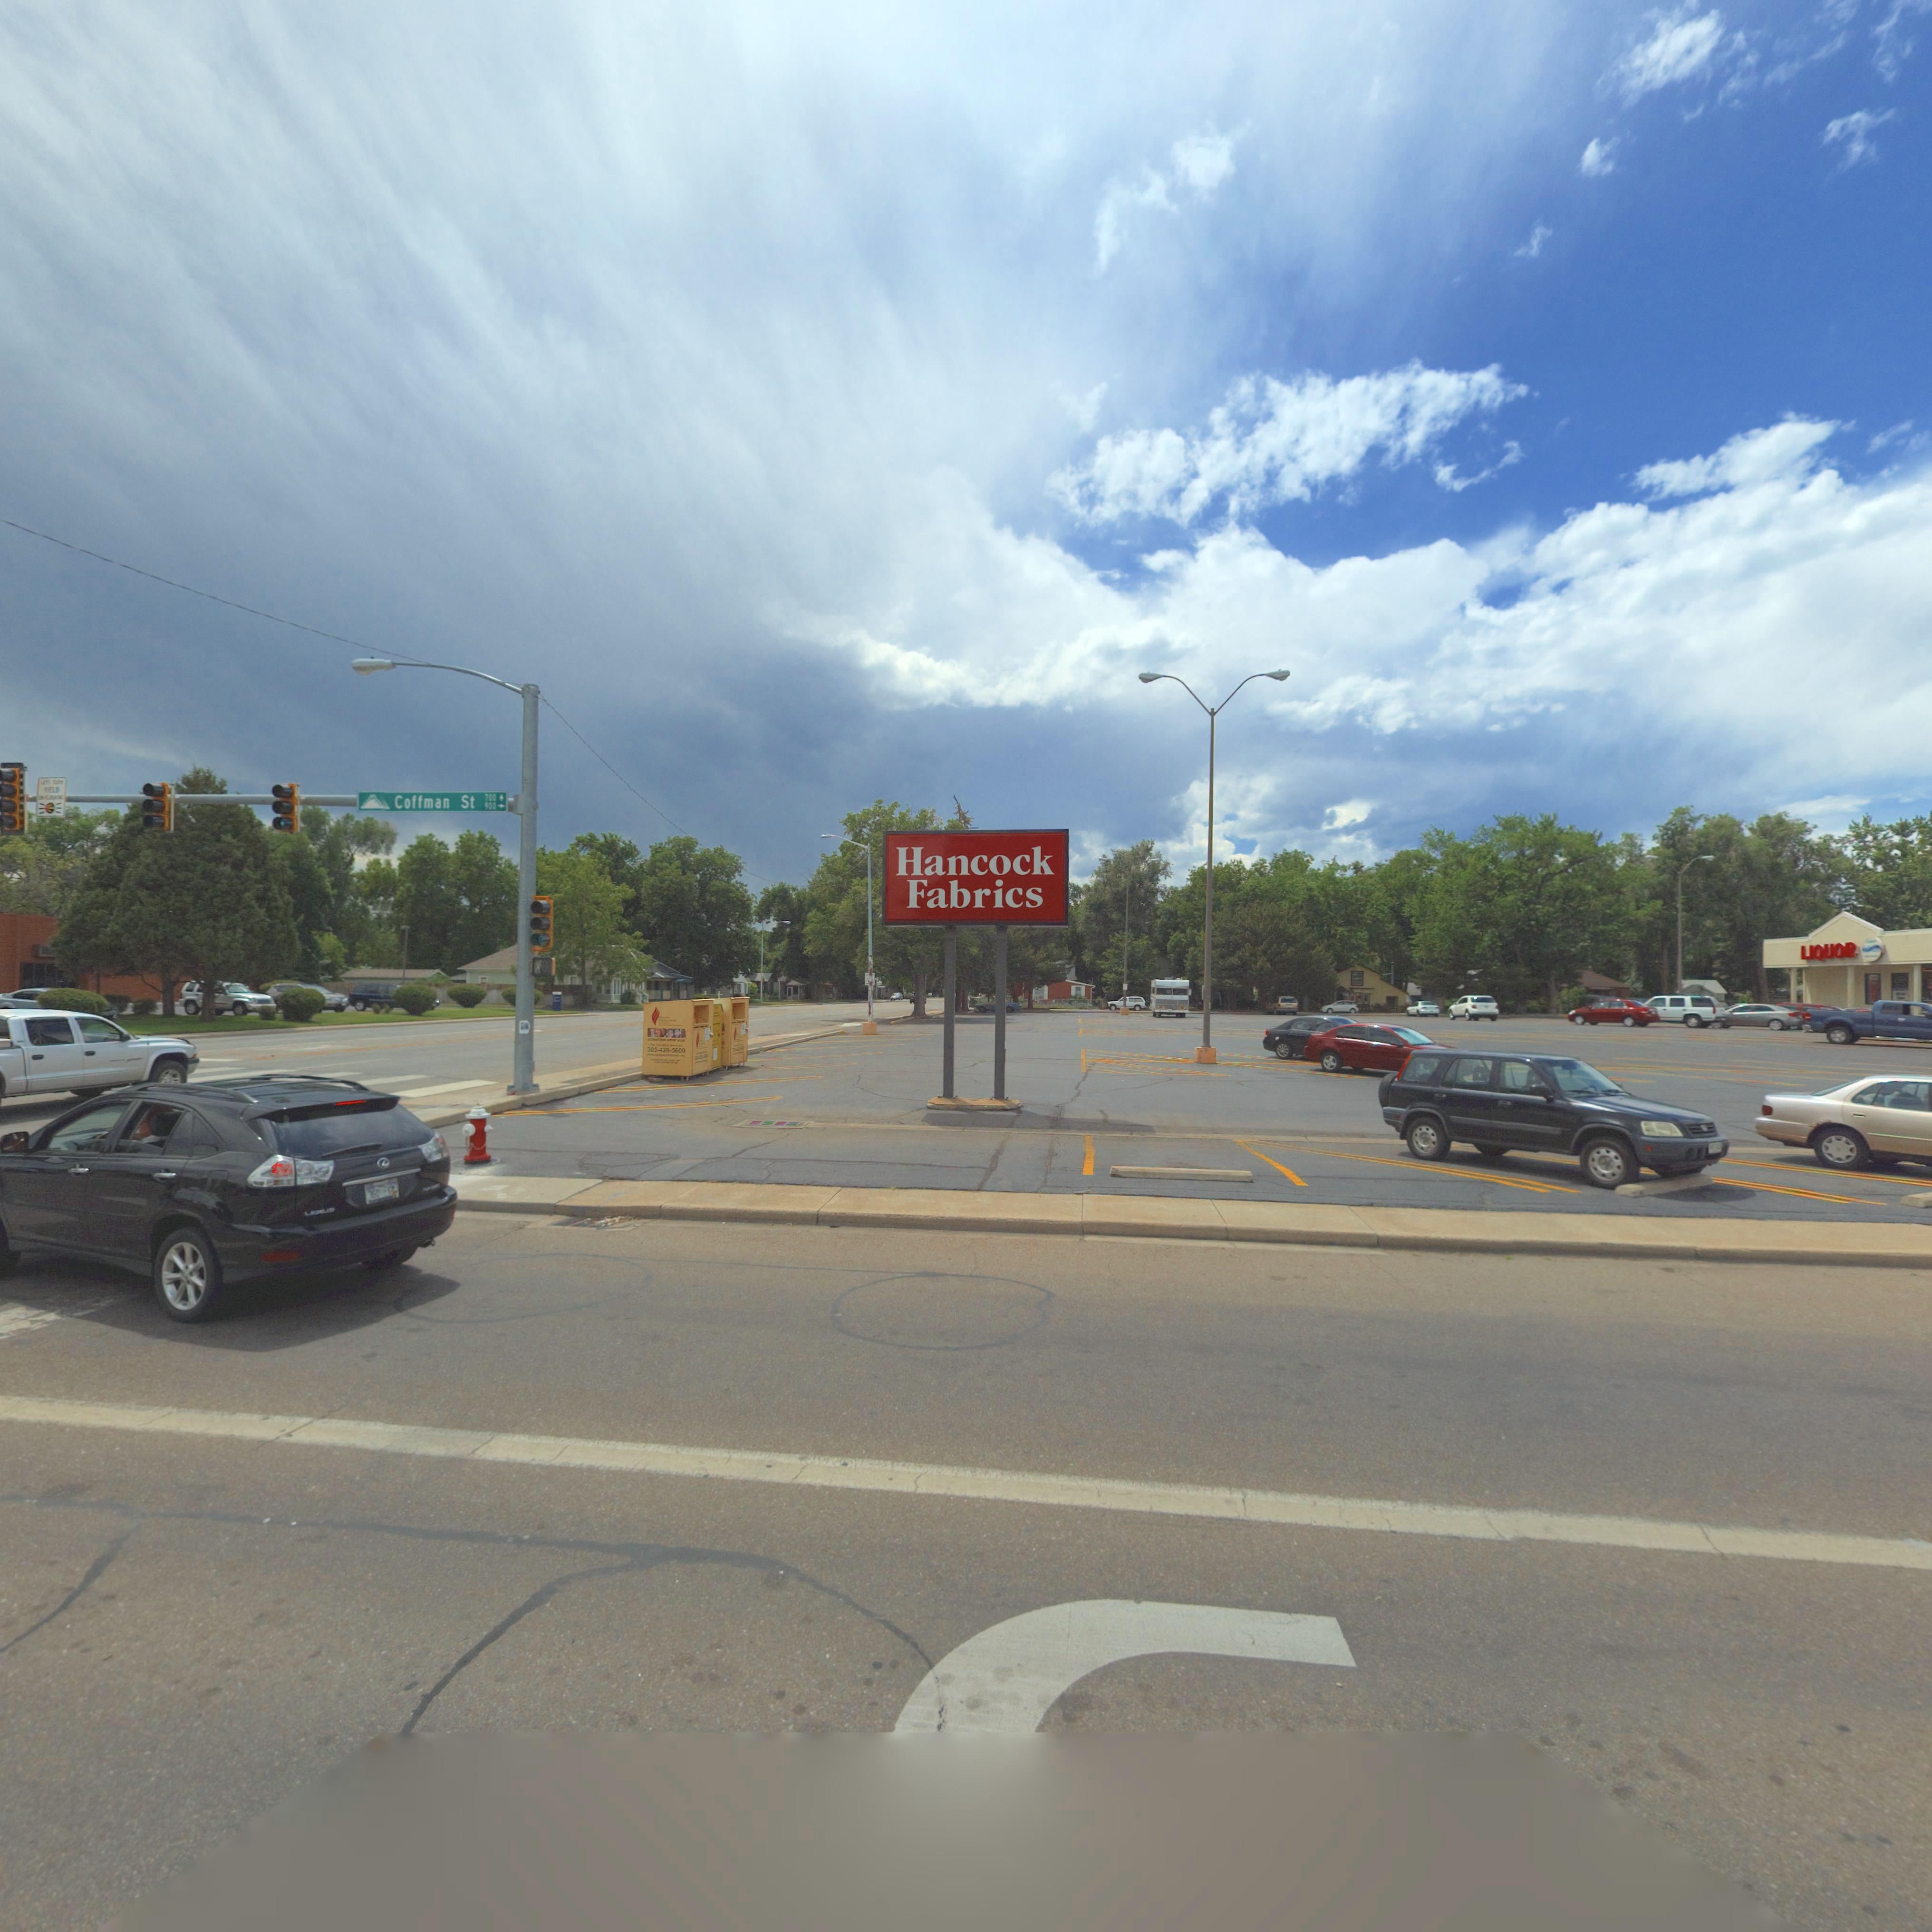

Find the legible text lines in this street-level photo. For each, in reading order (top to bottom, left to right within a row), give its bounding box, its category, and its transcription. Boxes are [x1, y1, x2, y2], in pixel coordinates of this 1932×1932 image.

[395, 794, 475, 809] StreetName: Coffman St
[484, 793, 496, 802] StreetNumberRange: 700
[484, 802, 504, 810] StreetNumberRange: 900 ->
[895, 846, 1054, 875] BusinessName: Hancock
[906, 879, 1043, 908] BusinessName: Fabrics